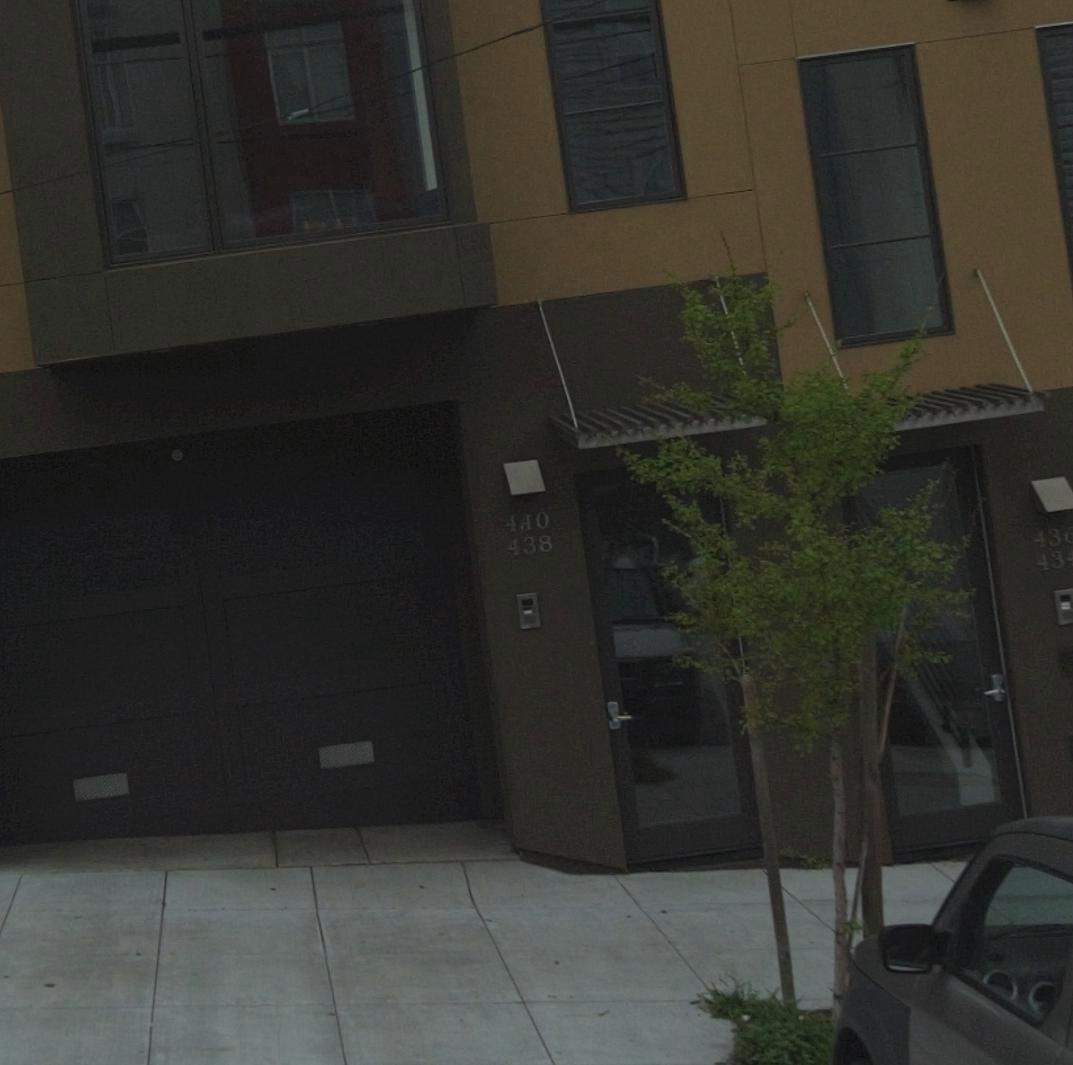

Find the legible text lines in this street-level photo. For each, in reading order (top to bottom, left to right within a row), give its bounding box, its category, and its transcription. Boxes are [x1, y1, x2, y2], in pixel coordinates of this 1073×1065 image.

[503, 509, 554, 534] StreetNumber: 440
[505, 534, 554, 558] StreetNumber: 438
[1031, 527, 1063, 550] StreetNumber: 43
[1033, 549, 1067, 572] StreetNumber: 43